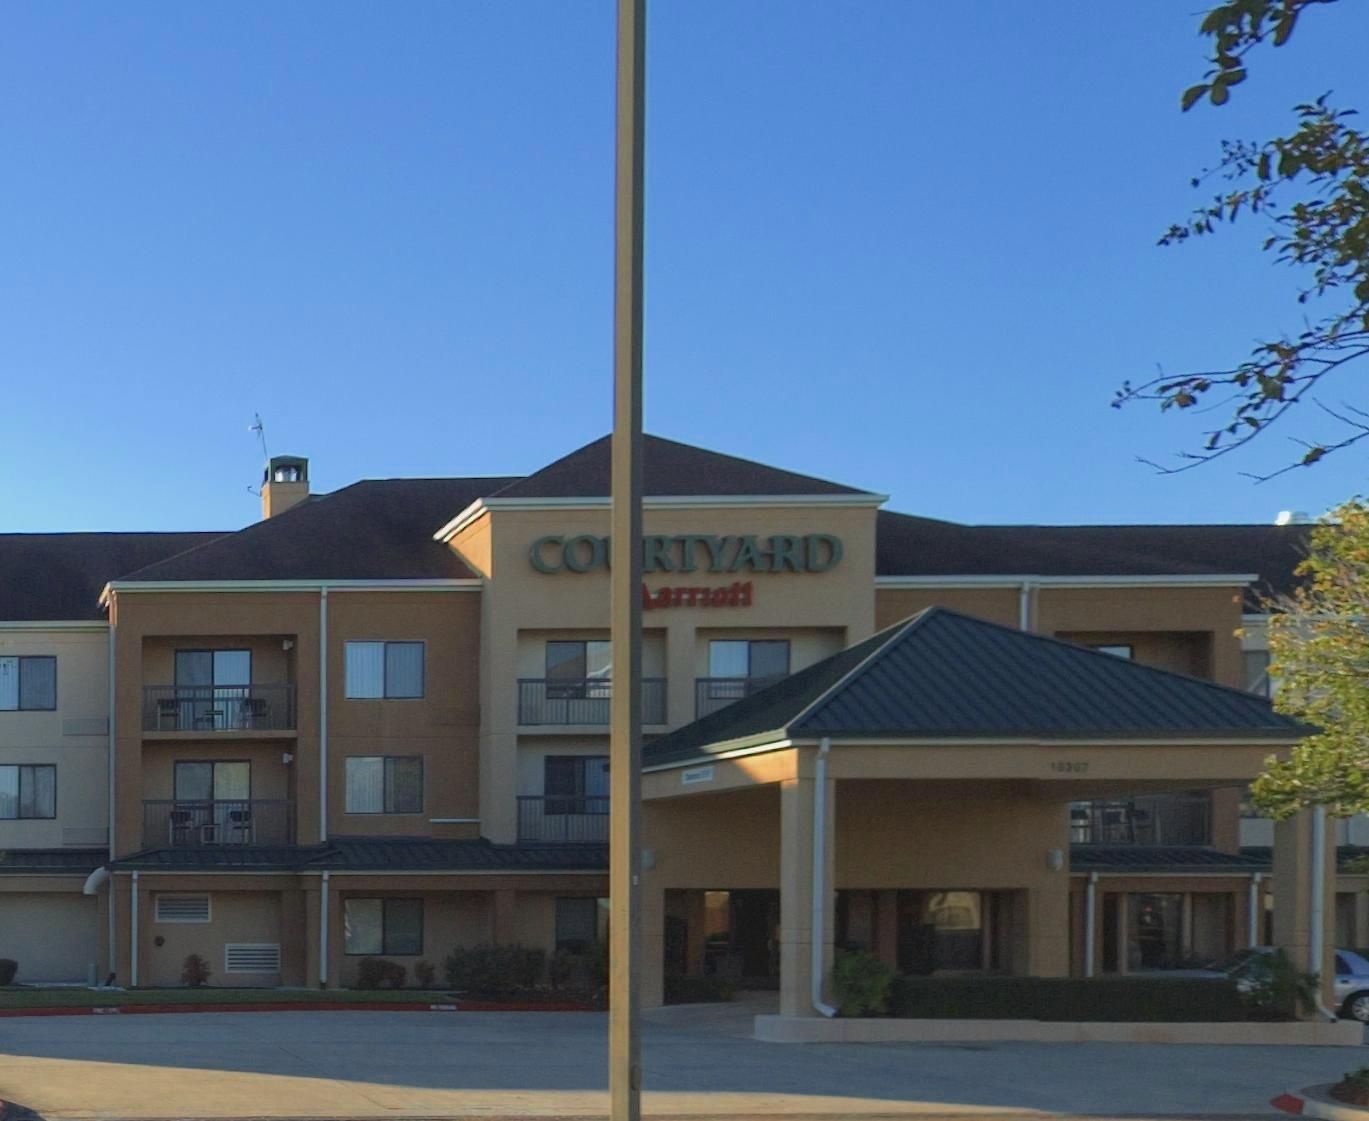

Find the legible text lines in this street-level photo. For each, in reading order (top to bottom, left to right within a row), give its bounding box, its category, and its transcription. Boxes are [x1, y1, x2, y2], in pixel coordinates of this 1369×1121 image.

[527, 532, 845, 577] BusinessName: CO*RTYARD
[641, 579, 753, 612] BusinessName: *arriott
[1048, 760, 1090, 775] StreetNumber: 10307